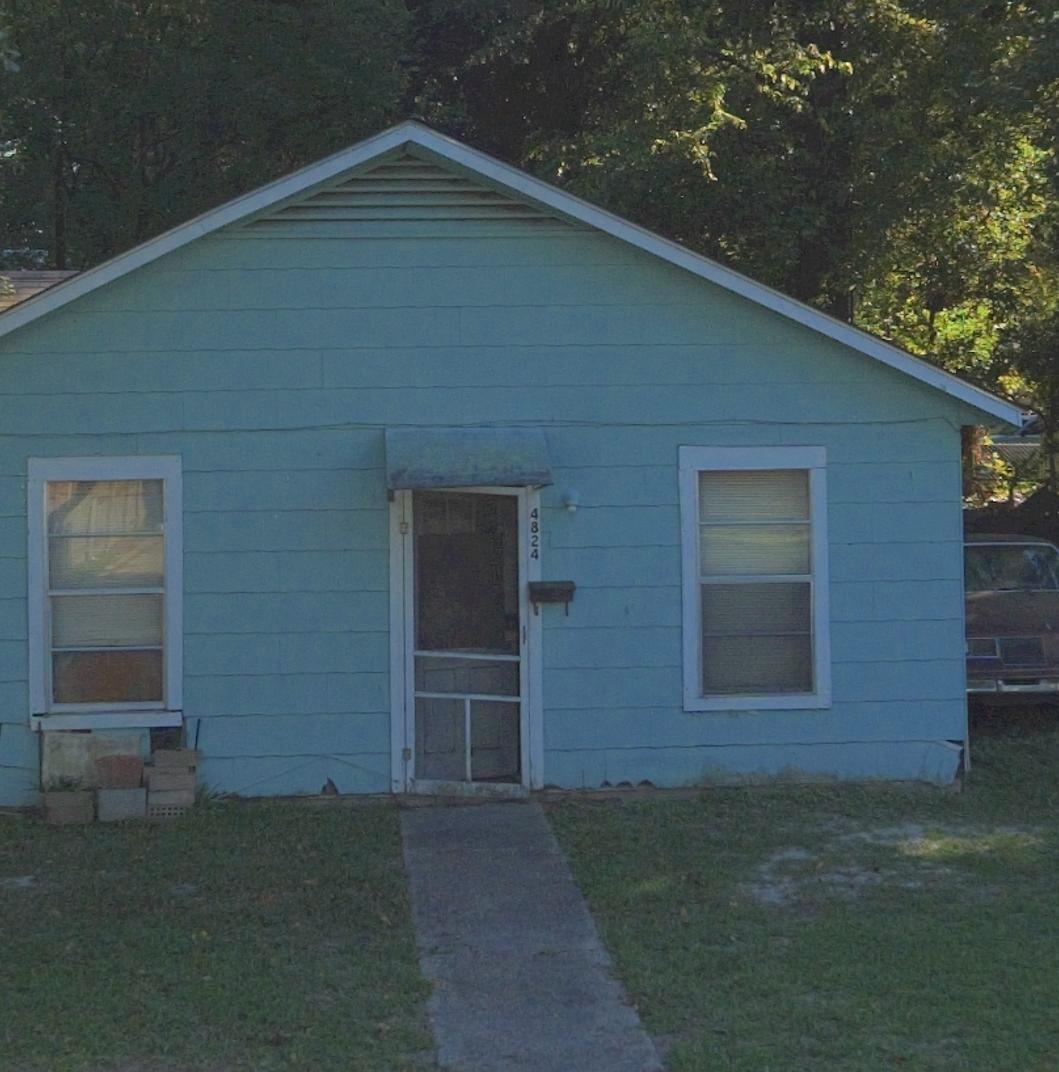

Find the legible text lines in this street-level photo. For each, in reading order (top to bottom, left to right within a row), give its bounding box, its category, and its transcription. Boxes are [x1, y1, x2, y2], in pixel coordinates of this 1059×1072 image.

[529, 506, 540, 562] StreetNumber: 4824